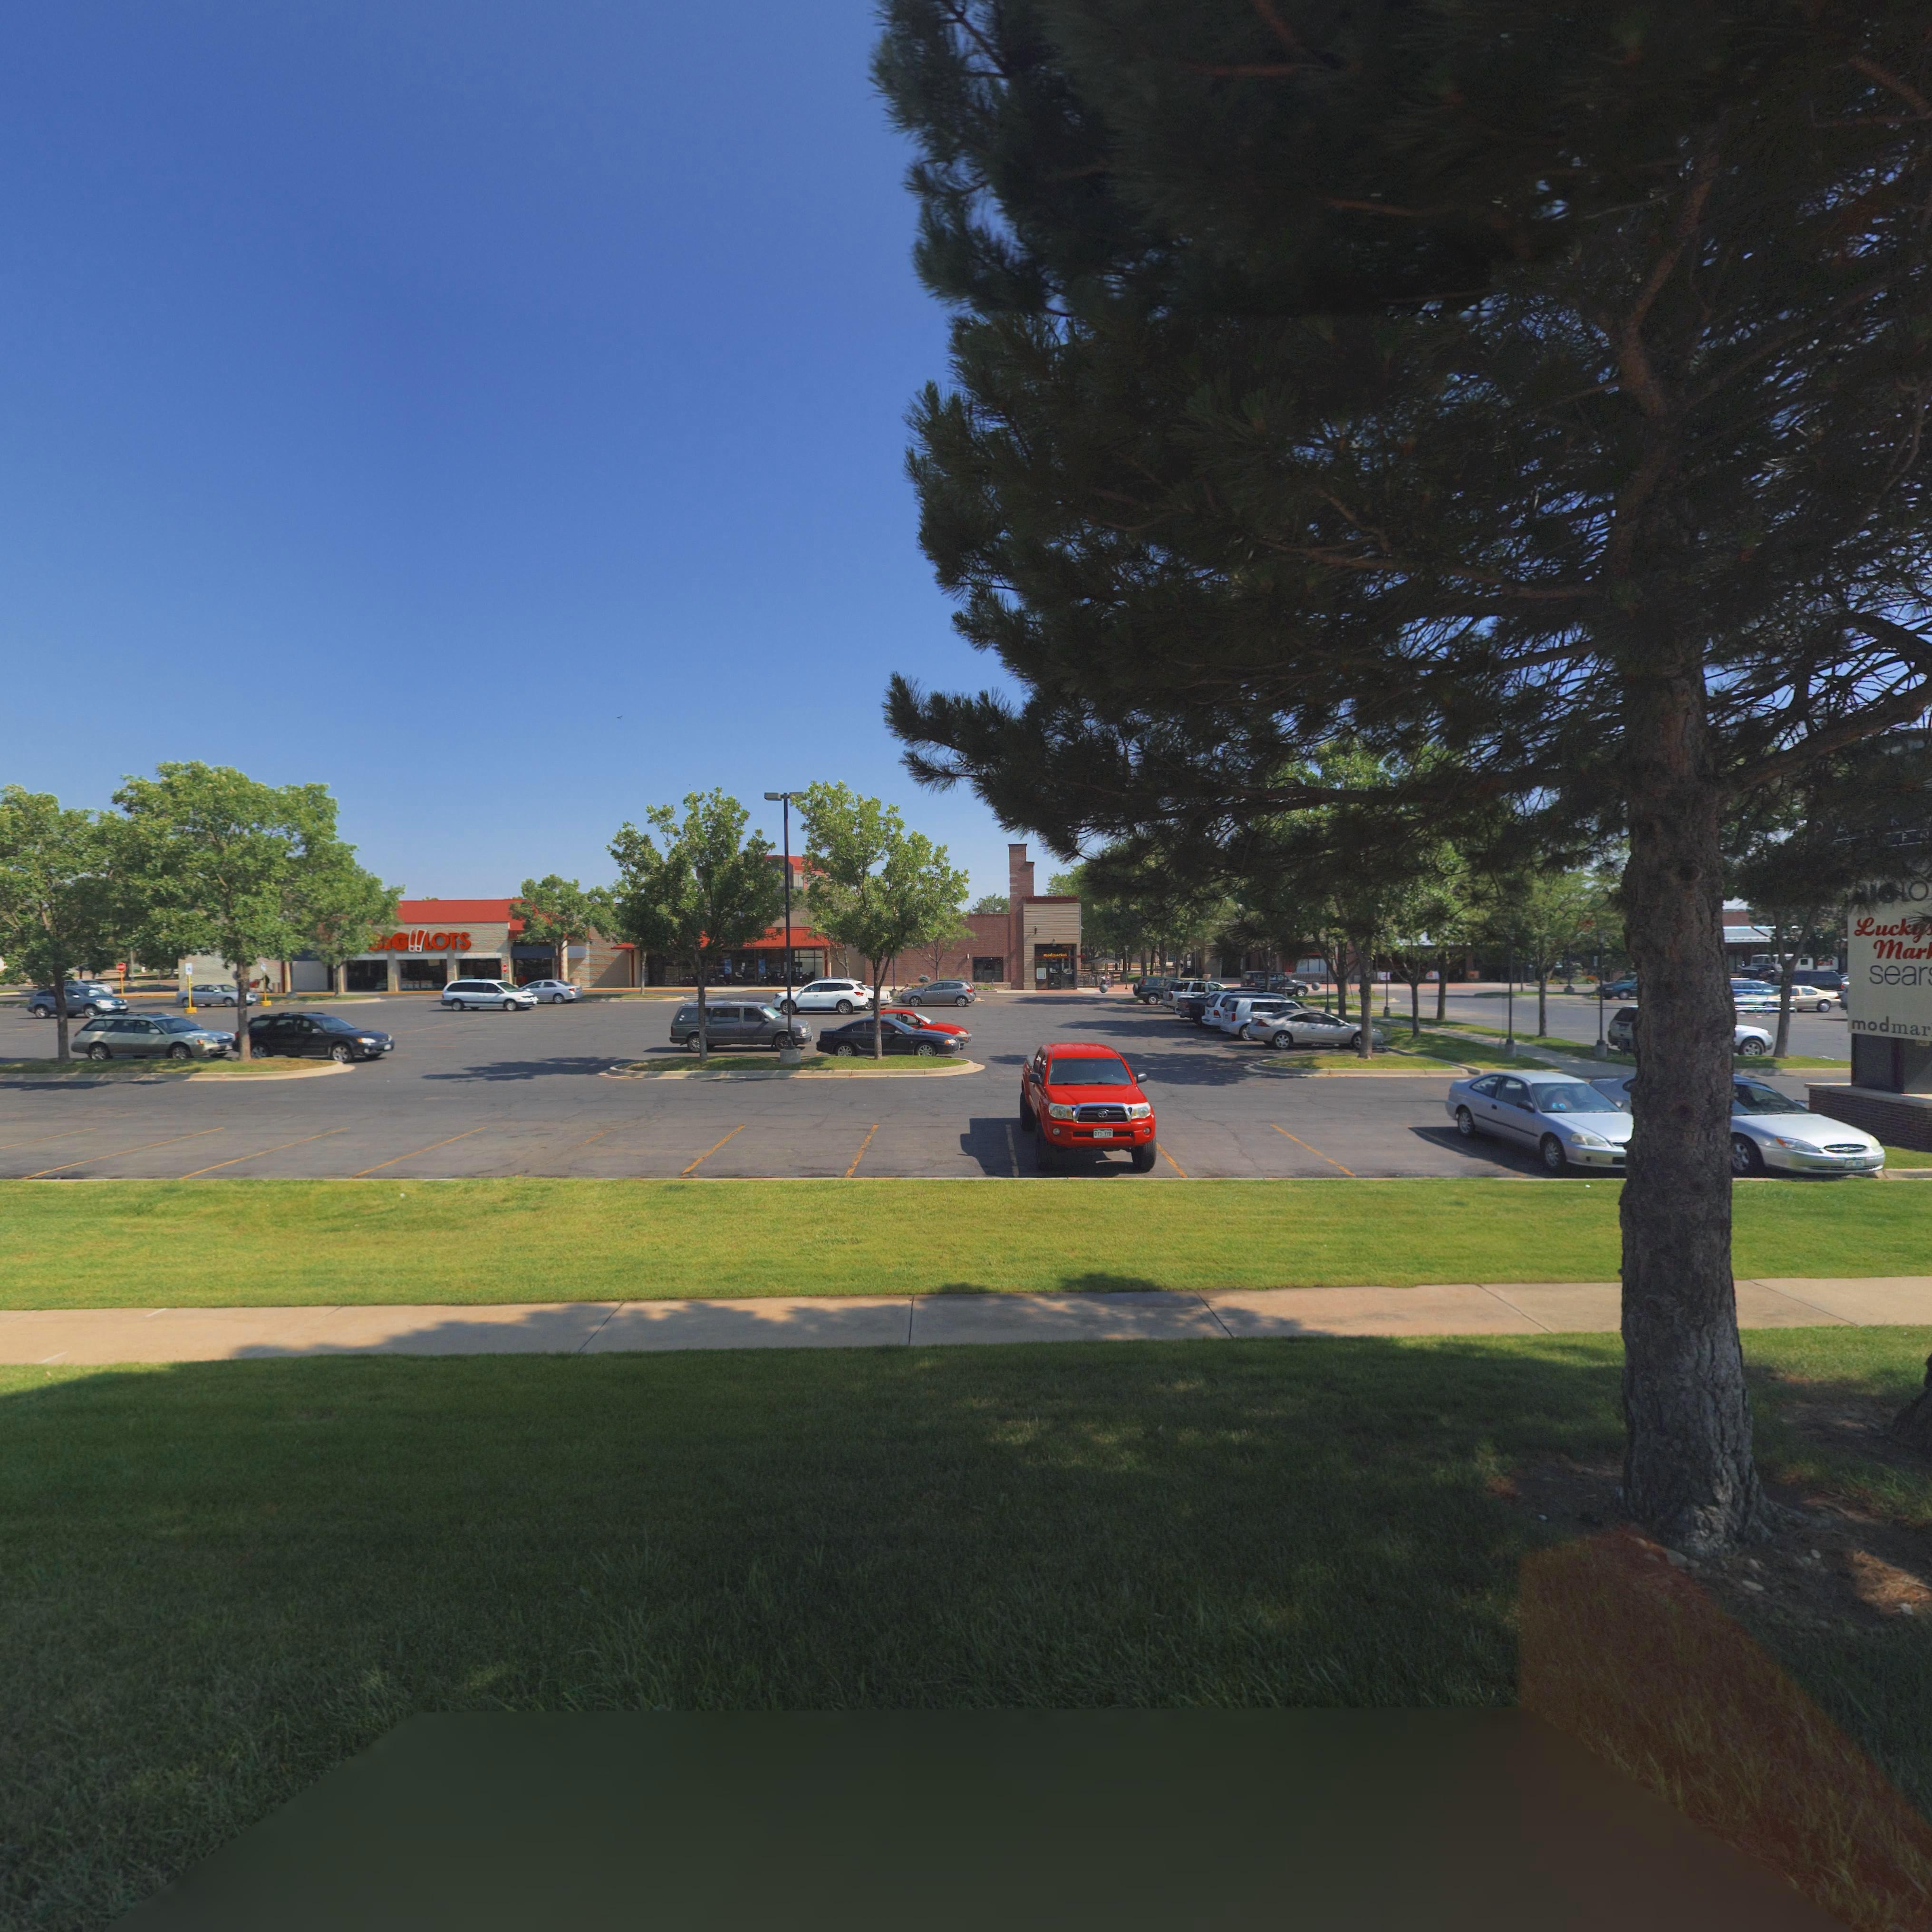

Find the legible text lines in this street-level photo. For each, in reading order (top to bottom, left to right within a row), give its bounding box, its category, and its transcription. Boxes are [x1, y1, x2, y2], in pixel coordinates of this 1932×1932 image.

[1853, 879, 1930, 905] BusinessName: *I* LO***
[367, 928, 471, 952] BusinessName: *IG!LOTS
[1043, 952, 1067, 956] BusinessName: m*dm*rk**
[1853, 916, 1930, 944] BusinessName: Lucky*
[1873, 938, 1929, 960] BusinessName: Mar***
[1869, 964, 1929, 986] BusinessName: sear*
[1851, 1015, 1931, 1036] BusinessName: modmar***